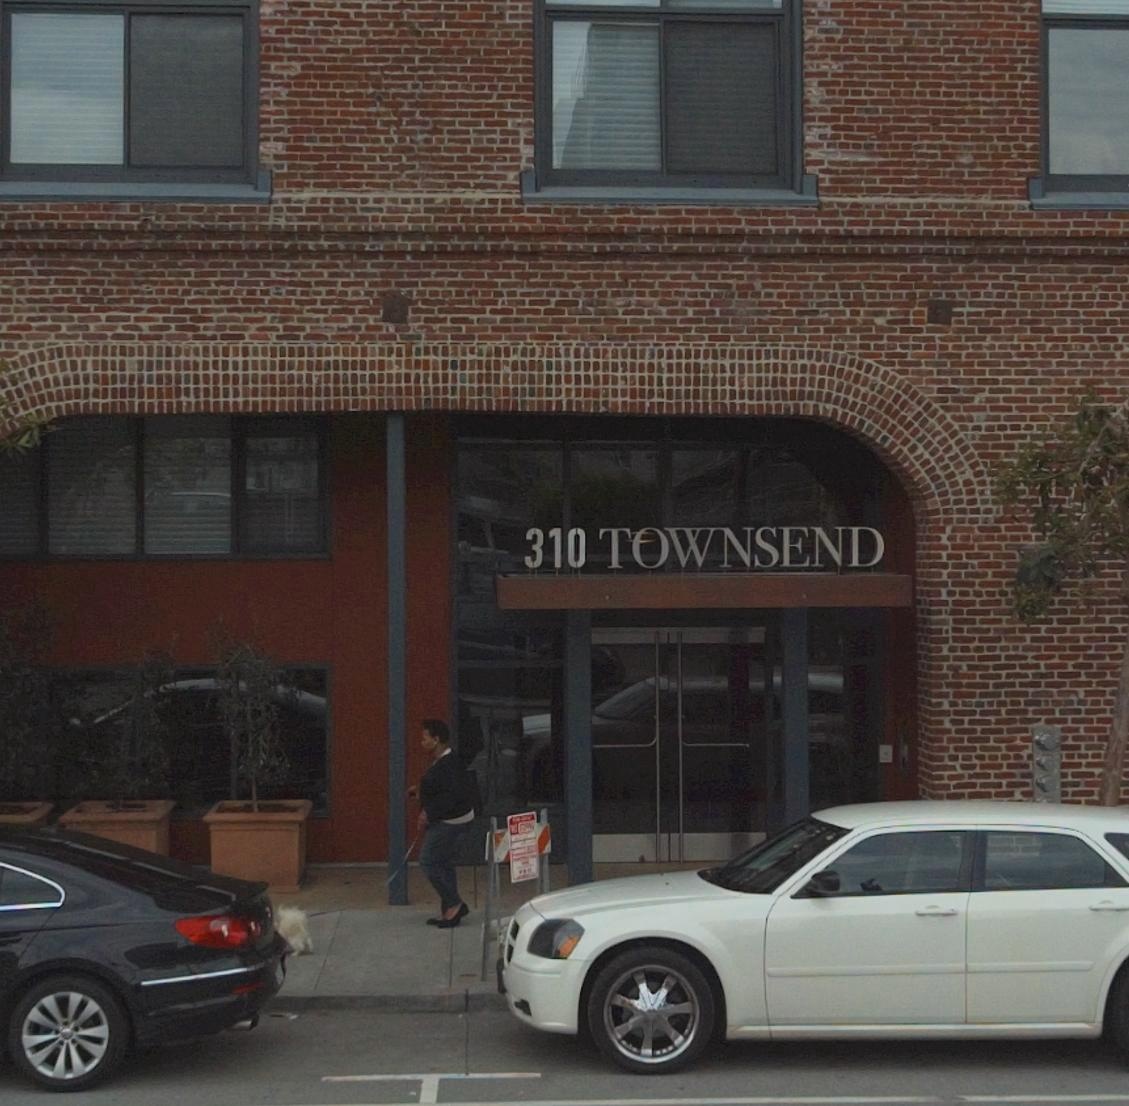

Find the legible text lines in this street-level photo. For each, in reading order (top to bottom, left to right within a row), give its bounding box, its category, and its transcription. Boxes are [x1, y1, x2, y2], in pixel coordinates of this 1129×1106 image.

[522, 524, 589, 571] StreetNumber: 310
[596, 523, 887, 571] None: TOWNSEND